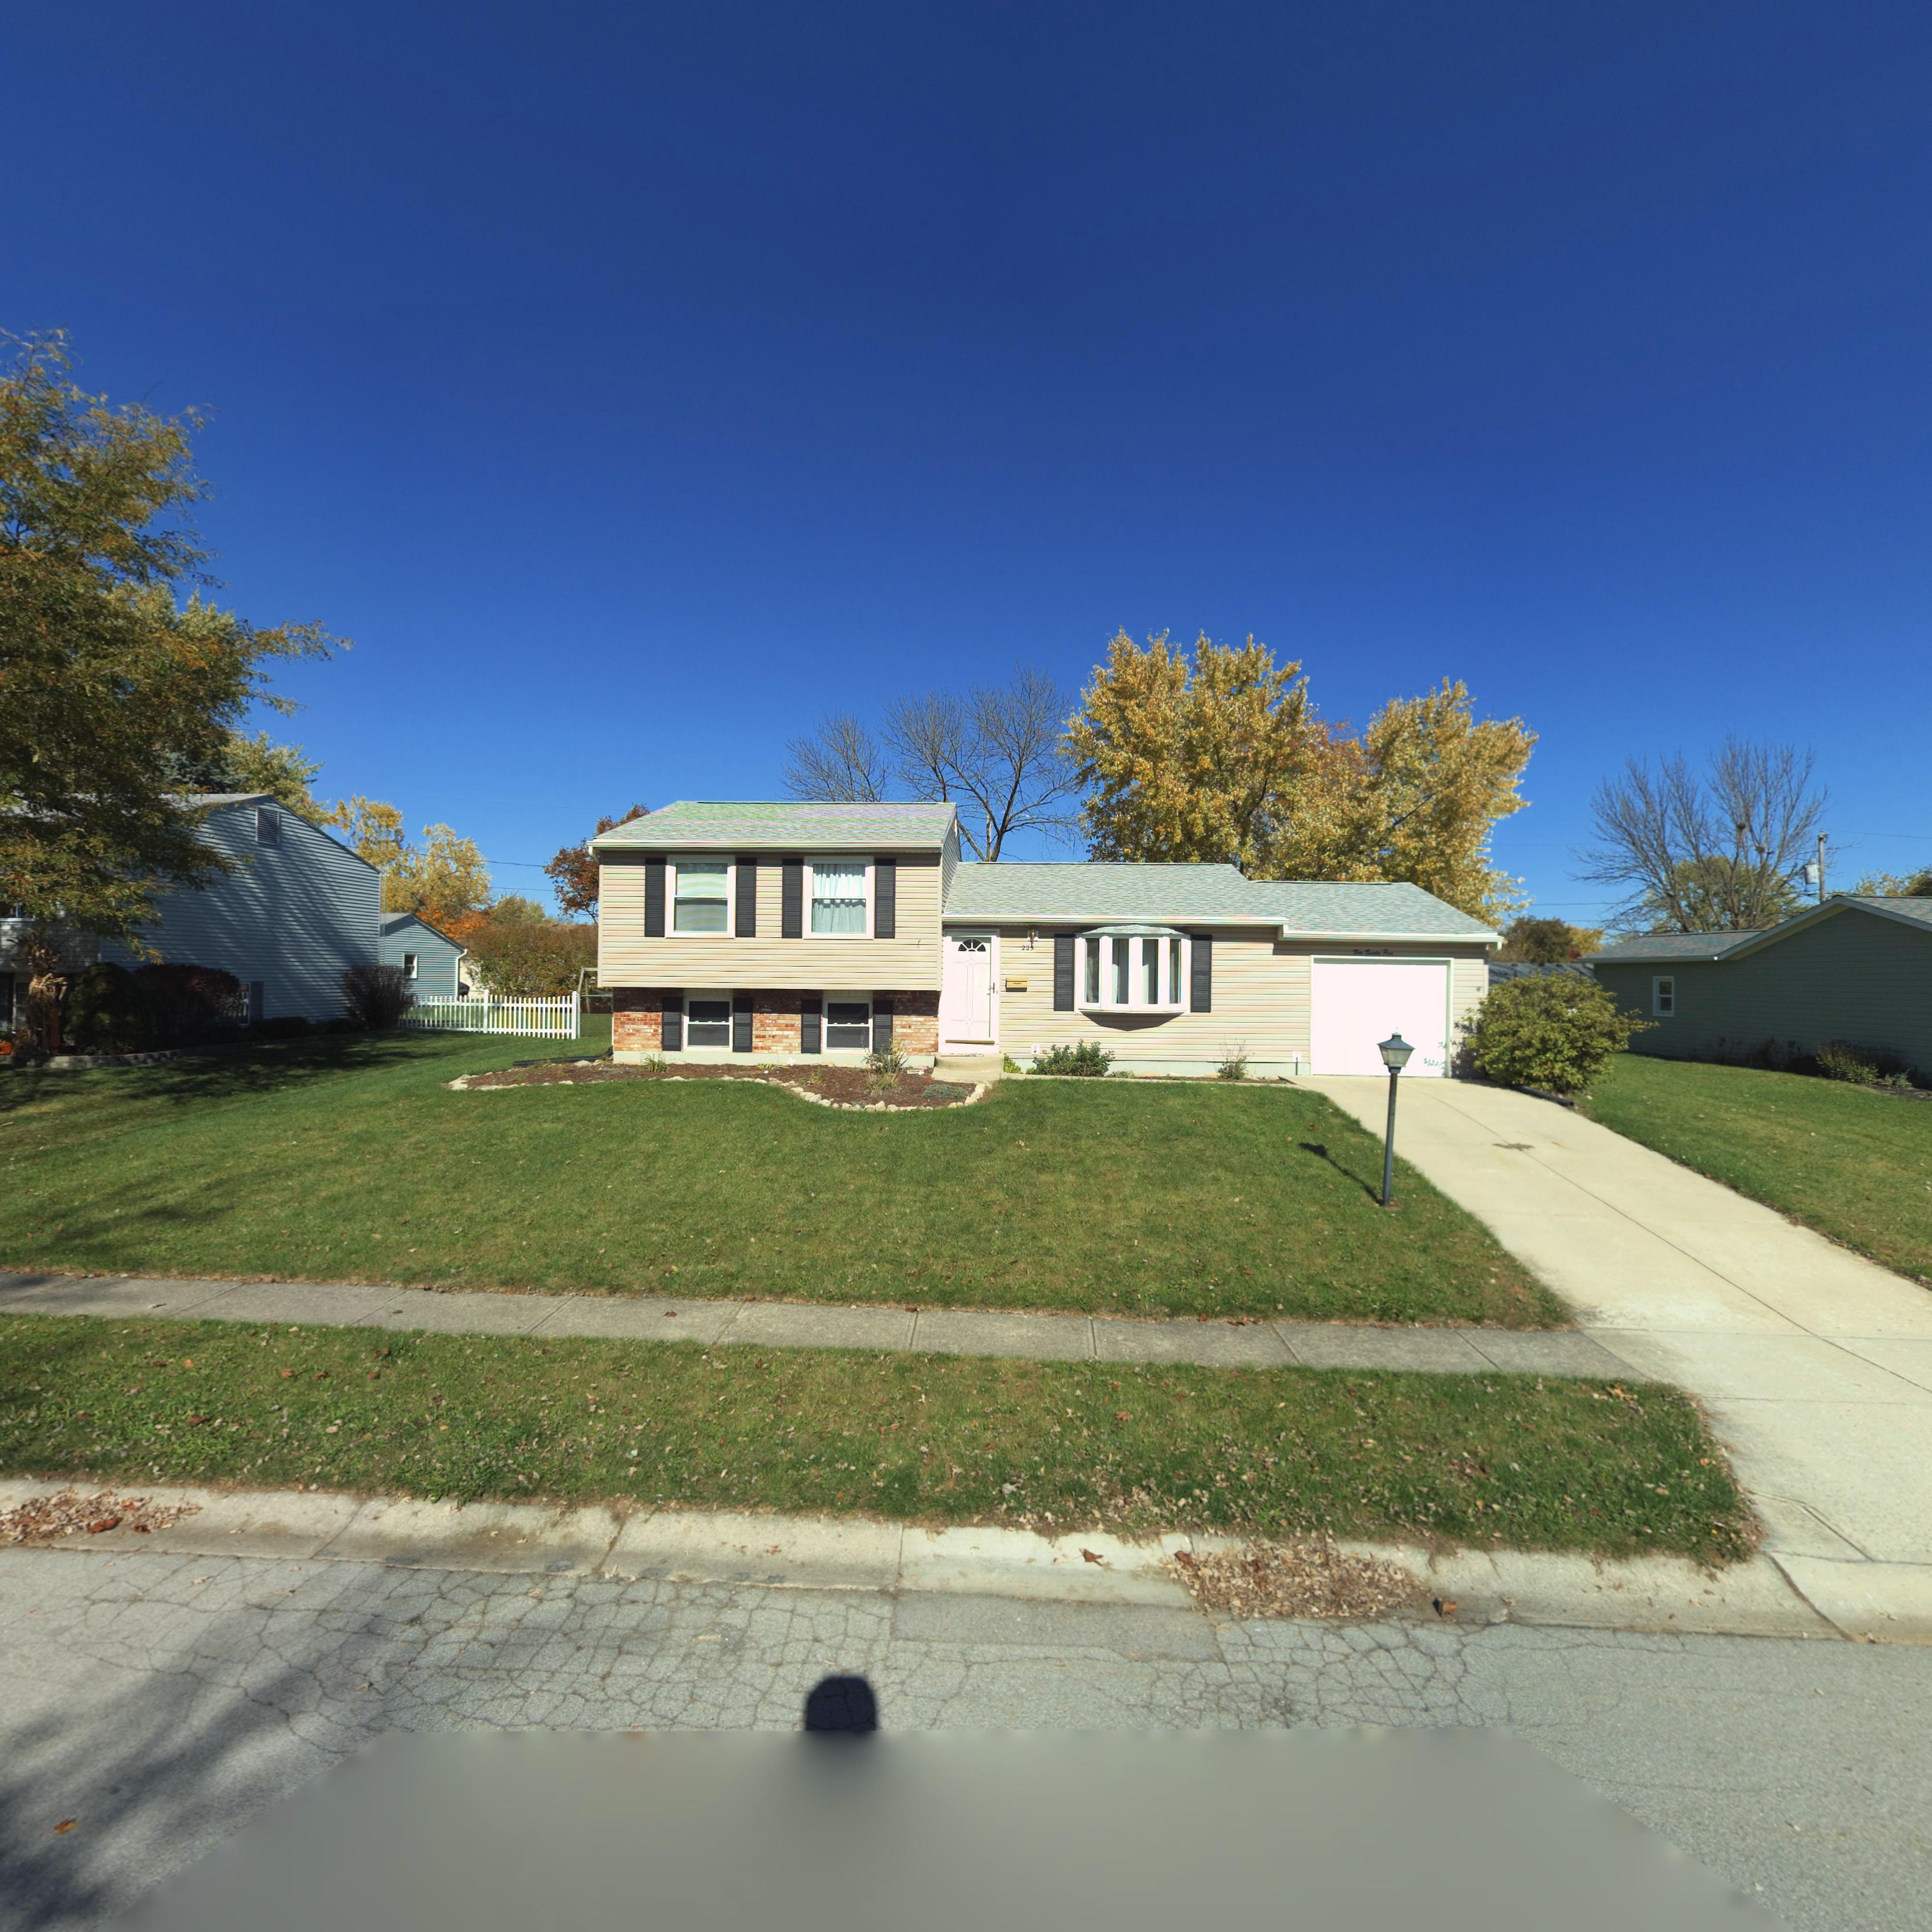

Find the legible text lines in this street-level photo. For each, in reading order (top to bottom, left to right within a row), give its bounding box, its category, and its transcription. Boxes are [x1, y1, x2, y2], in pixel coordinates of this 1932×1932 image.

[1021, 945, 1034, 951] StreetNumber: 225
[1352, 949, 1359, 955] StreetNumber: T
[1363, 948, 1371, 956] StreetNumber: T
[1381, 948, 1388, 956] StreetNumber: F